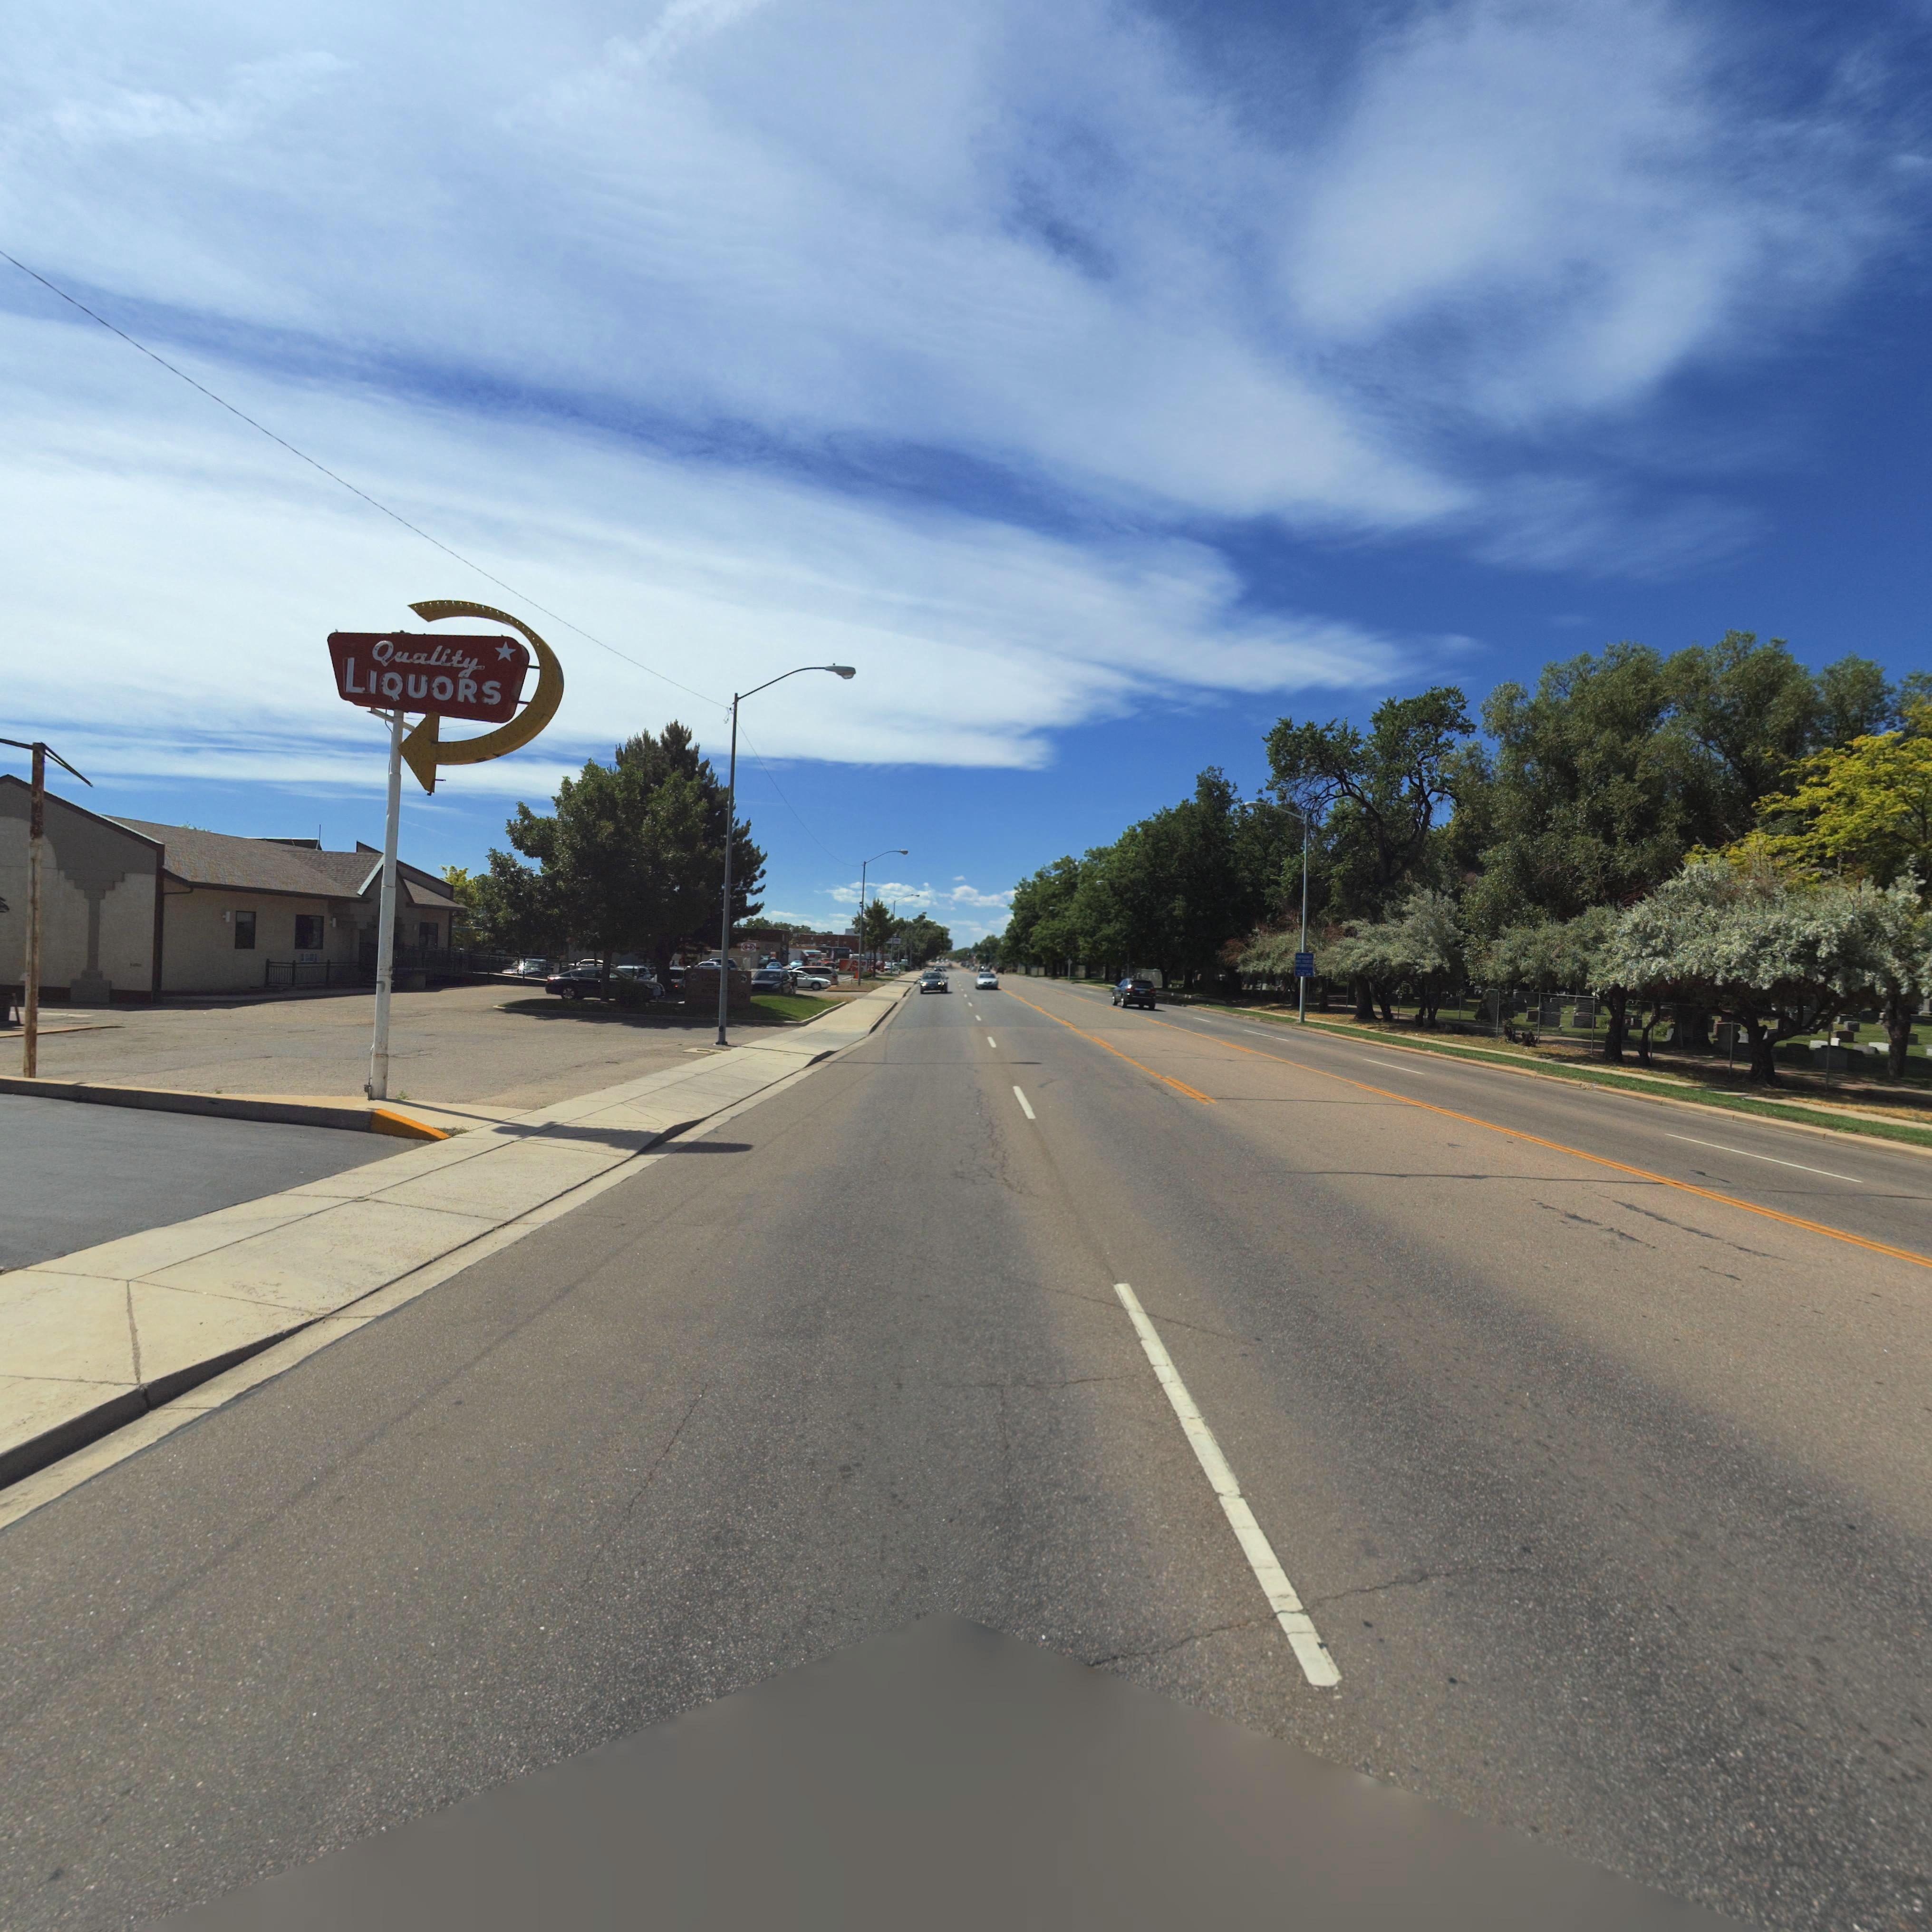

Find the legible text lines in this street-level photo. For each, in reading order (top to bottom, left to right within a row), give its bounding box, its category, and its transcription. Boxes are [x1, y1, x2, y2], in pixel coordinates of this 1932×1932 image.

[371, 639, 478, 677] BusinessName: Quality
[345, 657, 502, 705] BusinessName: LIQUORS
[850, 960, 866, 966] BusinessName: A**o
[846, 966, 863, 971] BusinessName: Zo**
[701, 975, 734, 983] BusinessName: LO******
[701, 988, 735, 994] BusinessName: A*******Y